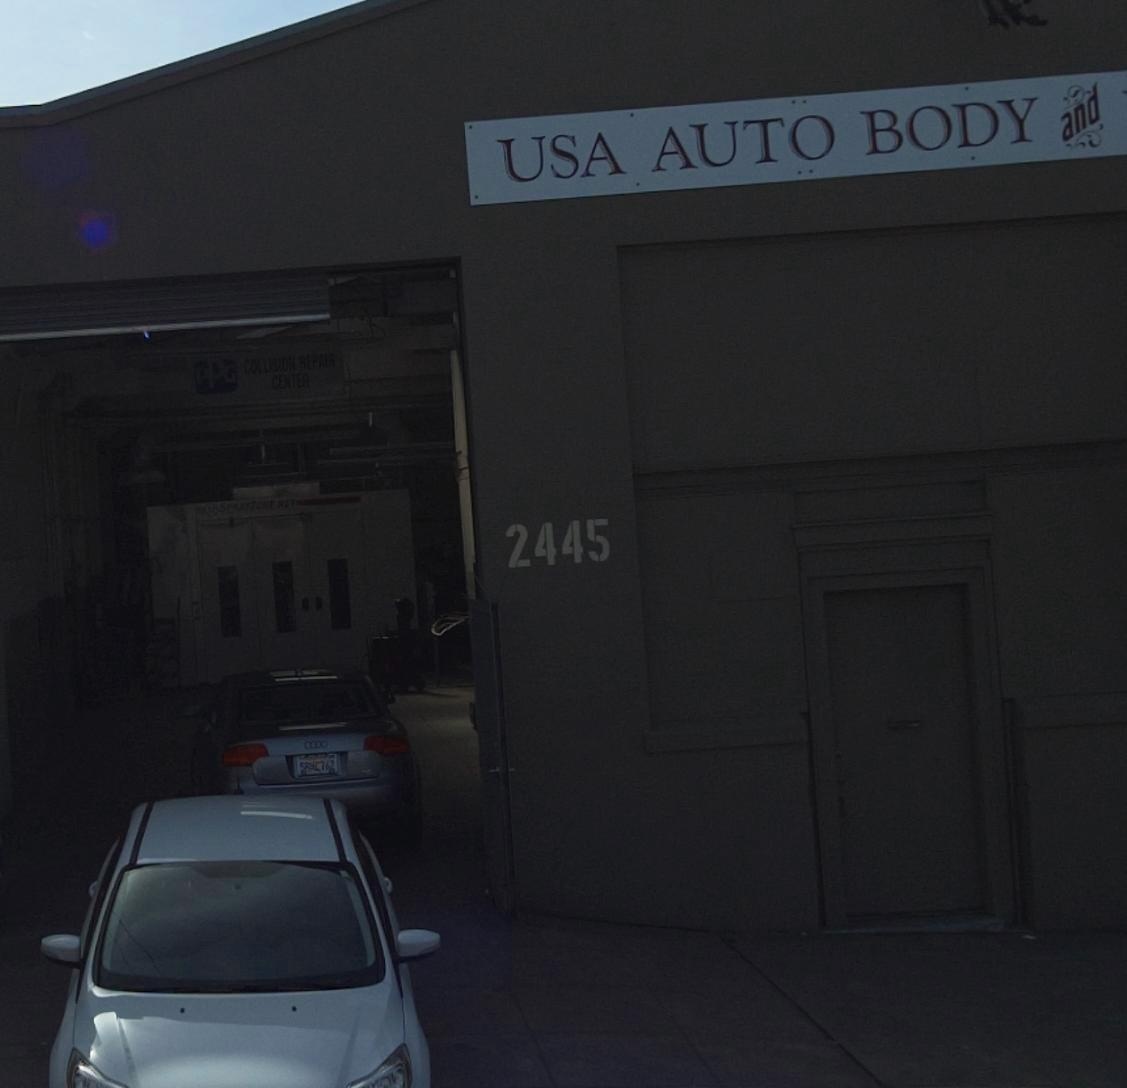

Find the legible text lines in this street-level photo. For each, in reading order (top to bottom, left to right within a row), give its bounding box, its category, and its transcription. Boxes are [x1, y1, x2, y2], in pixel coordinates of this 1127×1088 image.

[1055, 76, 1102, 148] BusinessName: and
[489, 92, 1046, 190] BusinessName: USA AUTO BODY
[195, 355, 238, 393] None: PPG
[241, 351, 338, 377] None: COLLISION REPAIR
[269, 369, 313, 391] None: CENTER
[218, 497, 298, 516] None: SPRAYZONE.NET
[498, 513, 616, 575] StreetNumber: 2445